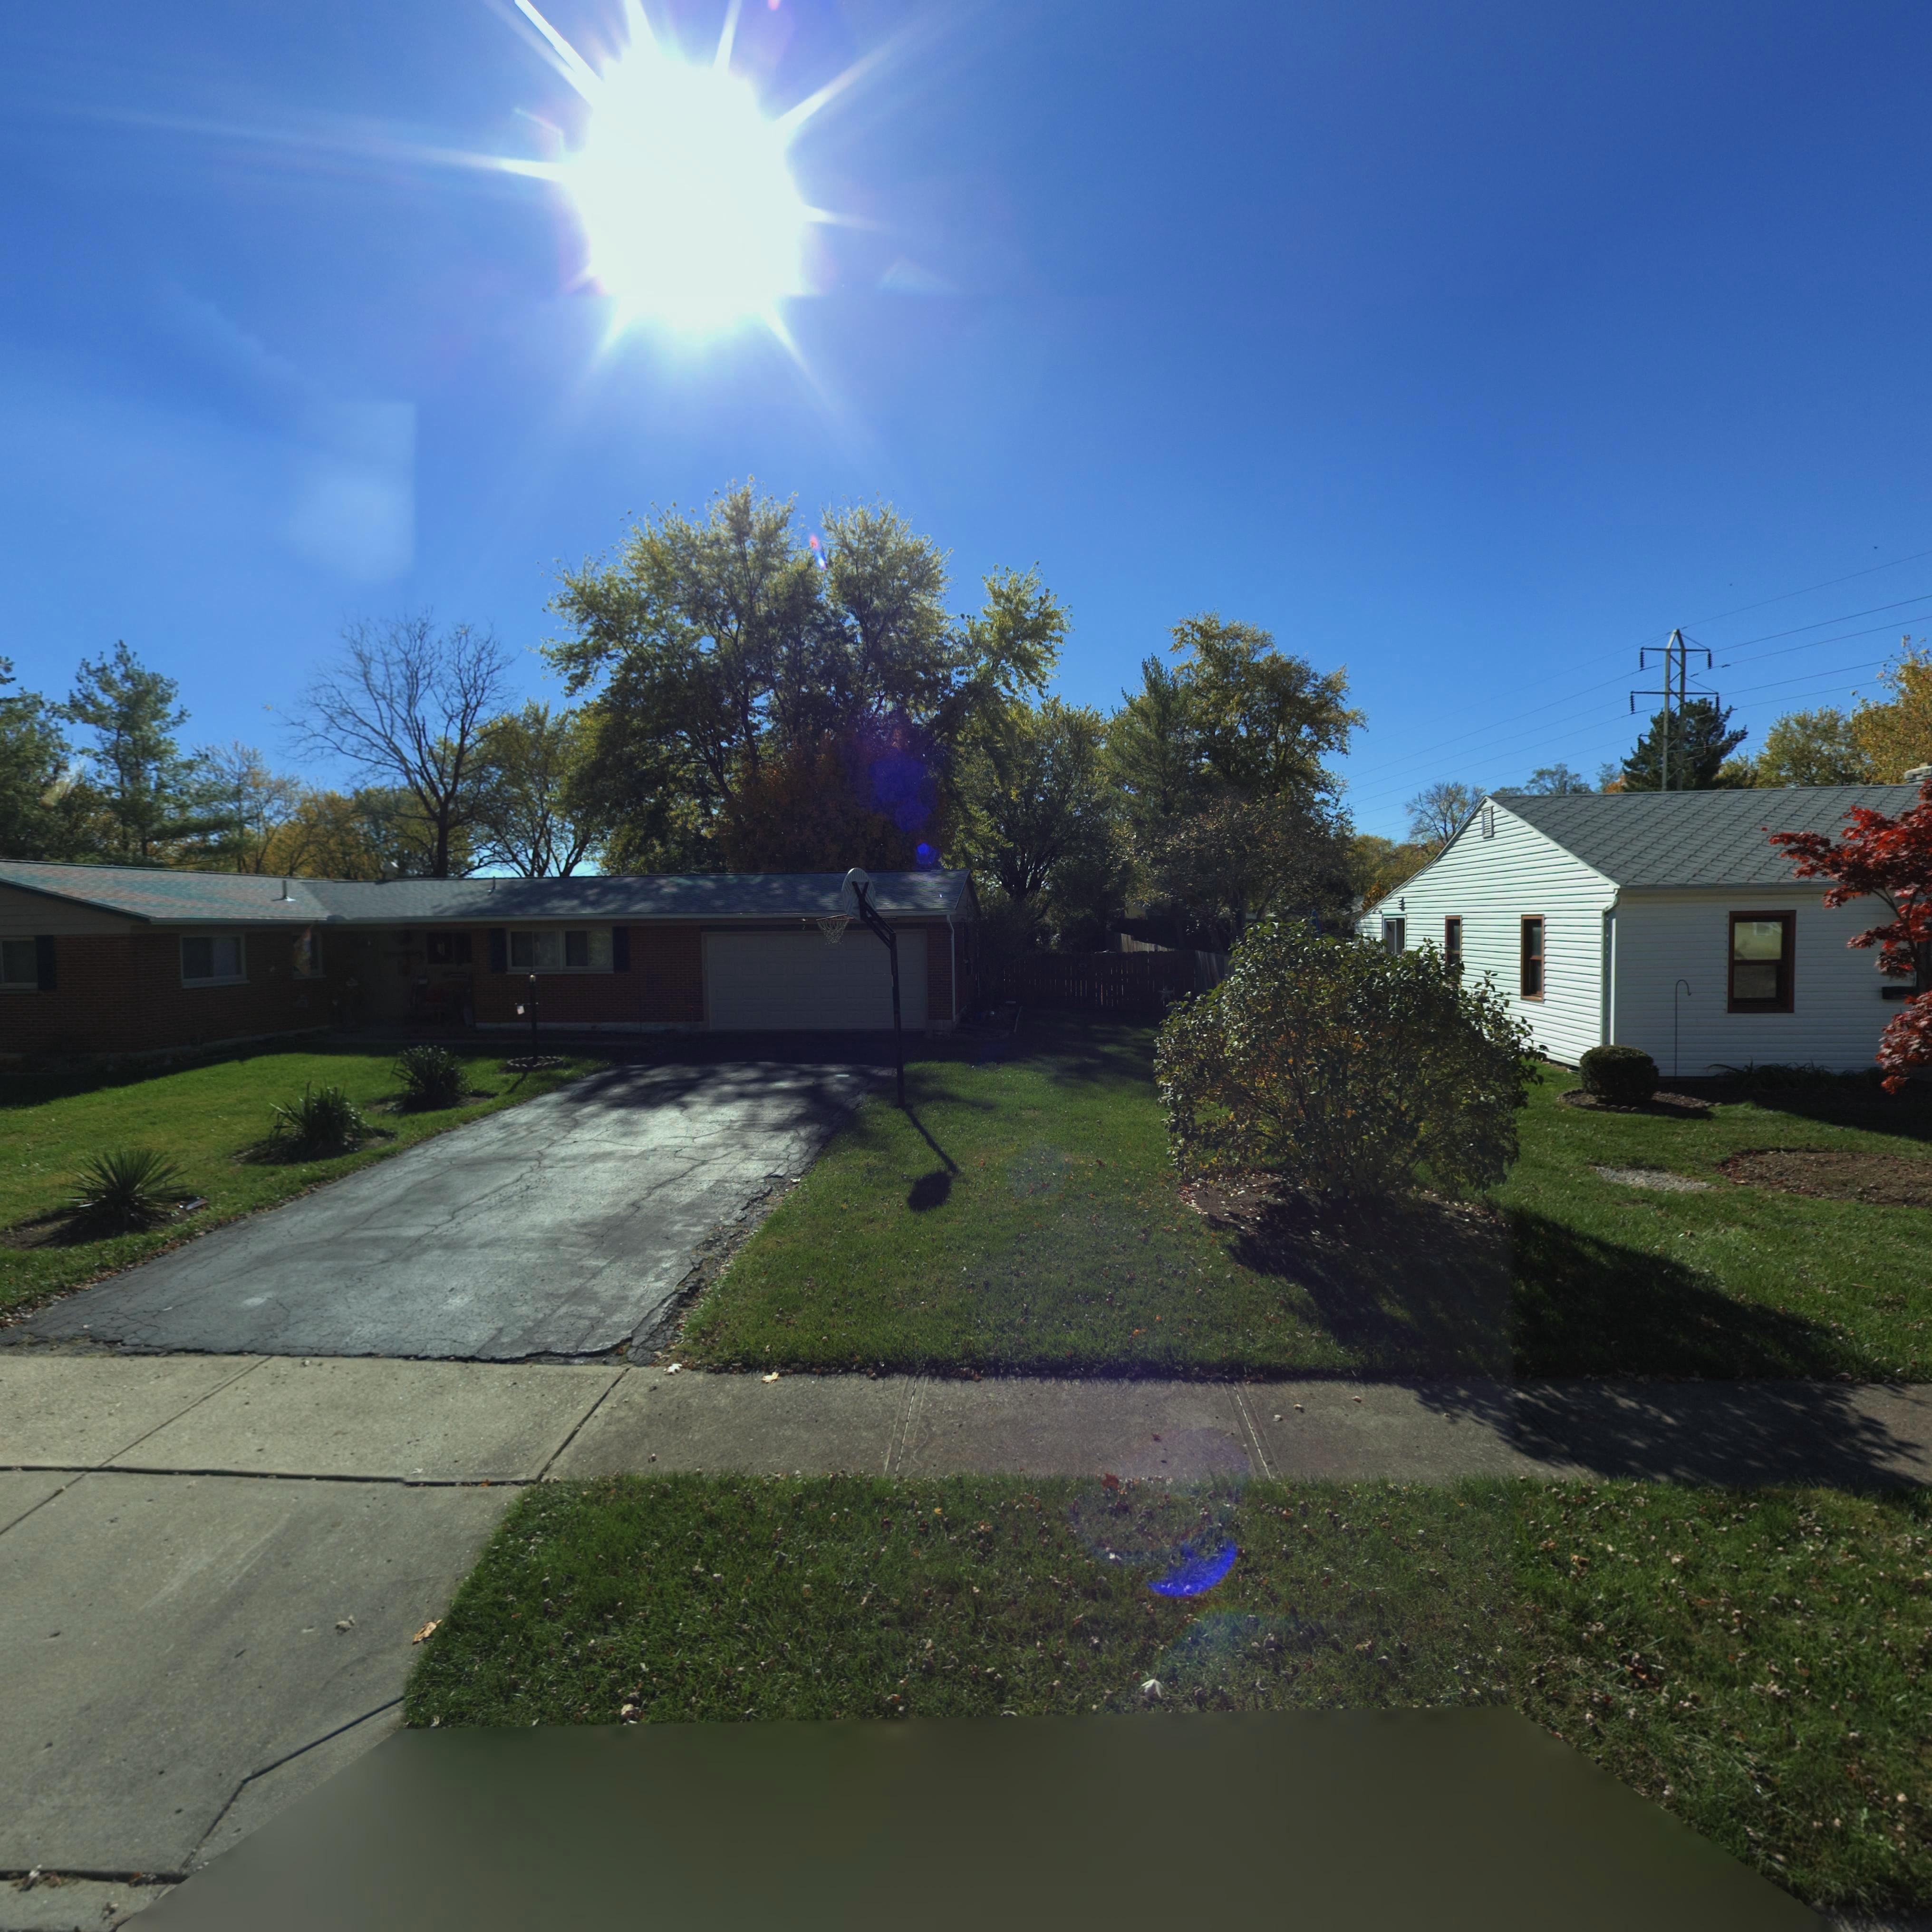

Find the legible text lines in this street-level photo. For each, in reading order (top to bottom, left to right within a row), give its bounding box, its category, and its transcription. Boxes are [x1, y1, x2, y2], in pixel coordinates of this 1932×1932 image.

[801, 924, 807, 931] StreetNumber: 2